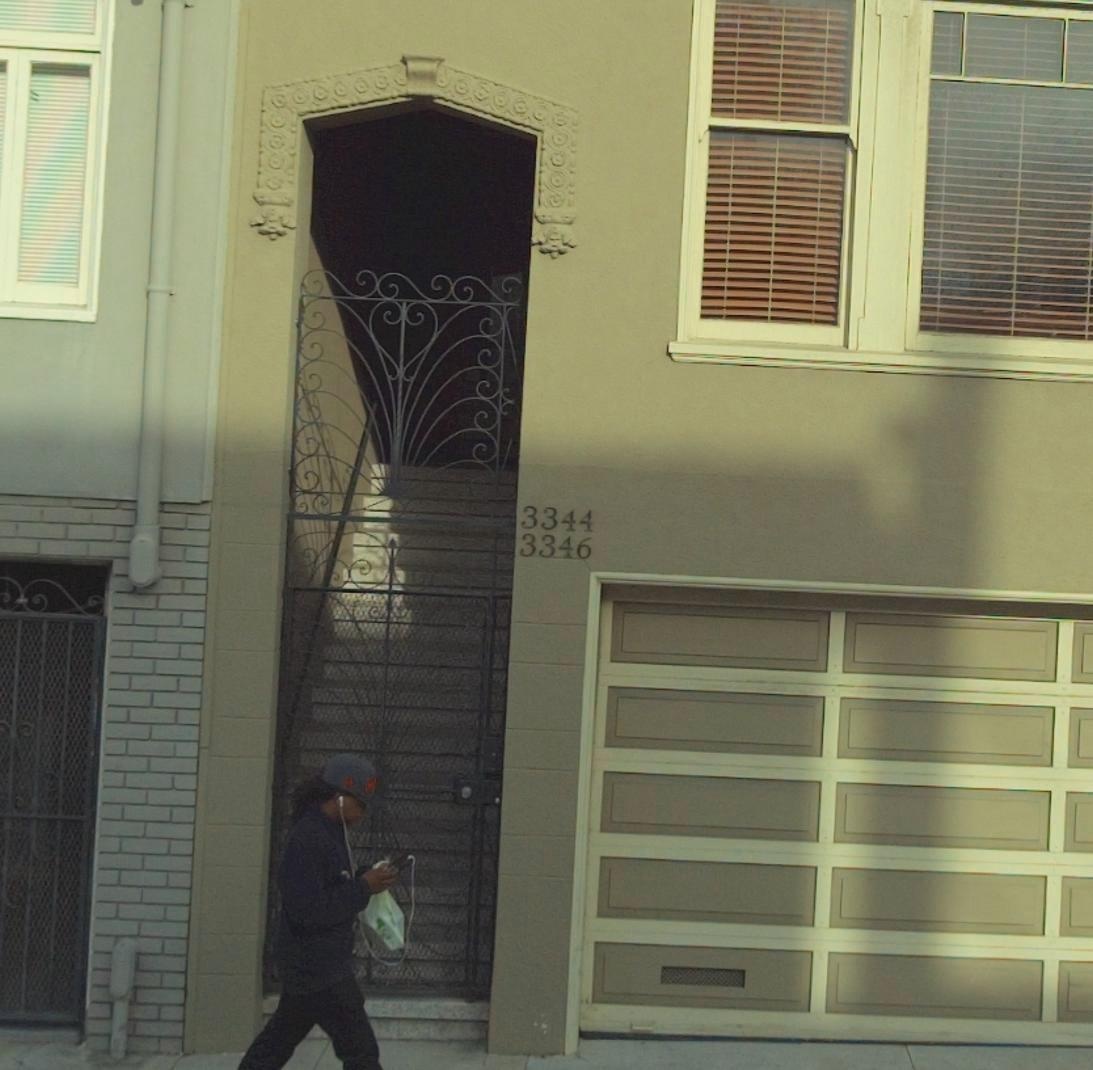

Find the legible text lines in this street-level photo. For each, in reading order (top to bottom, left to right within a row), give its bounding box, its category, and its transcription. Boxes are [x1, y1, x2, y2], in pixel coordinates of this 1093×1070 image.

[518, 503, 597, 536] StreetNumber: 3344
[515, 531, 596, 563] None: 3346